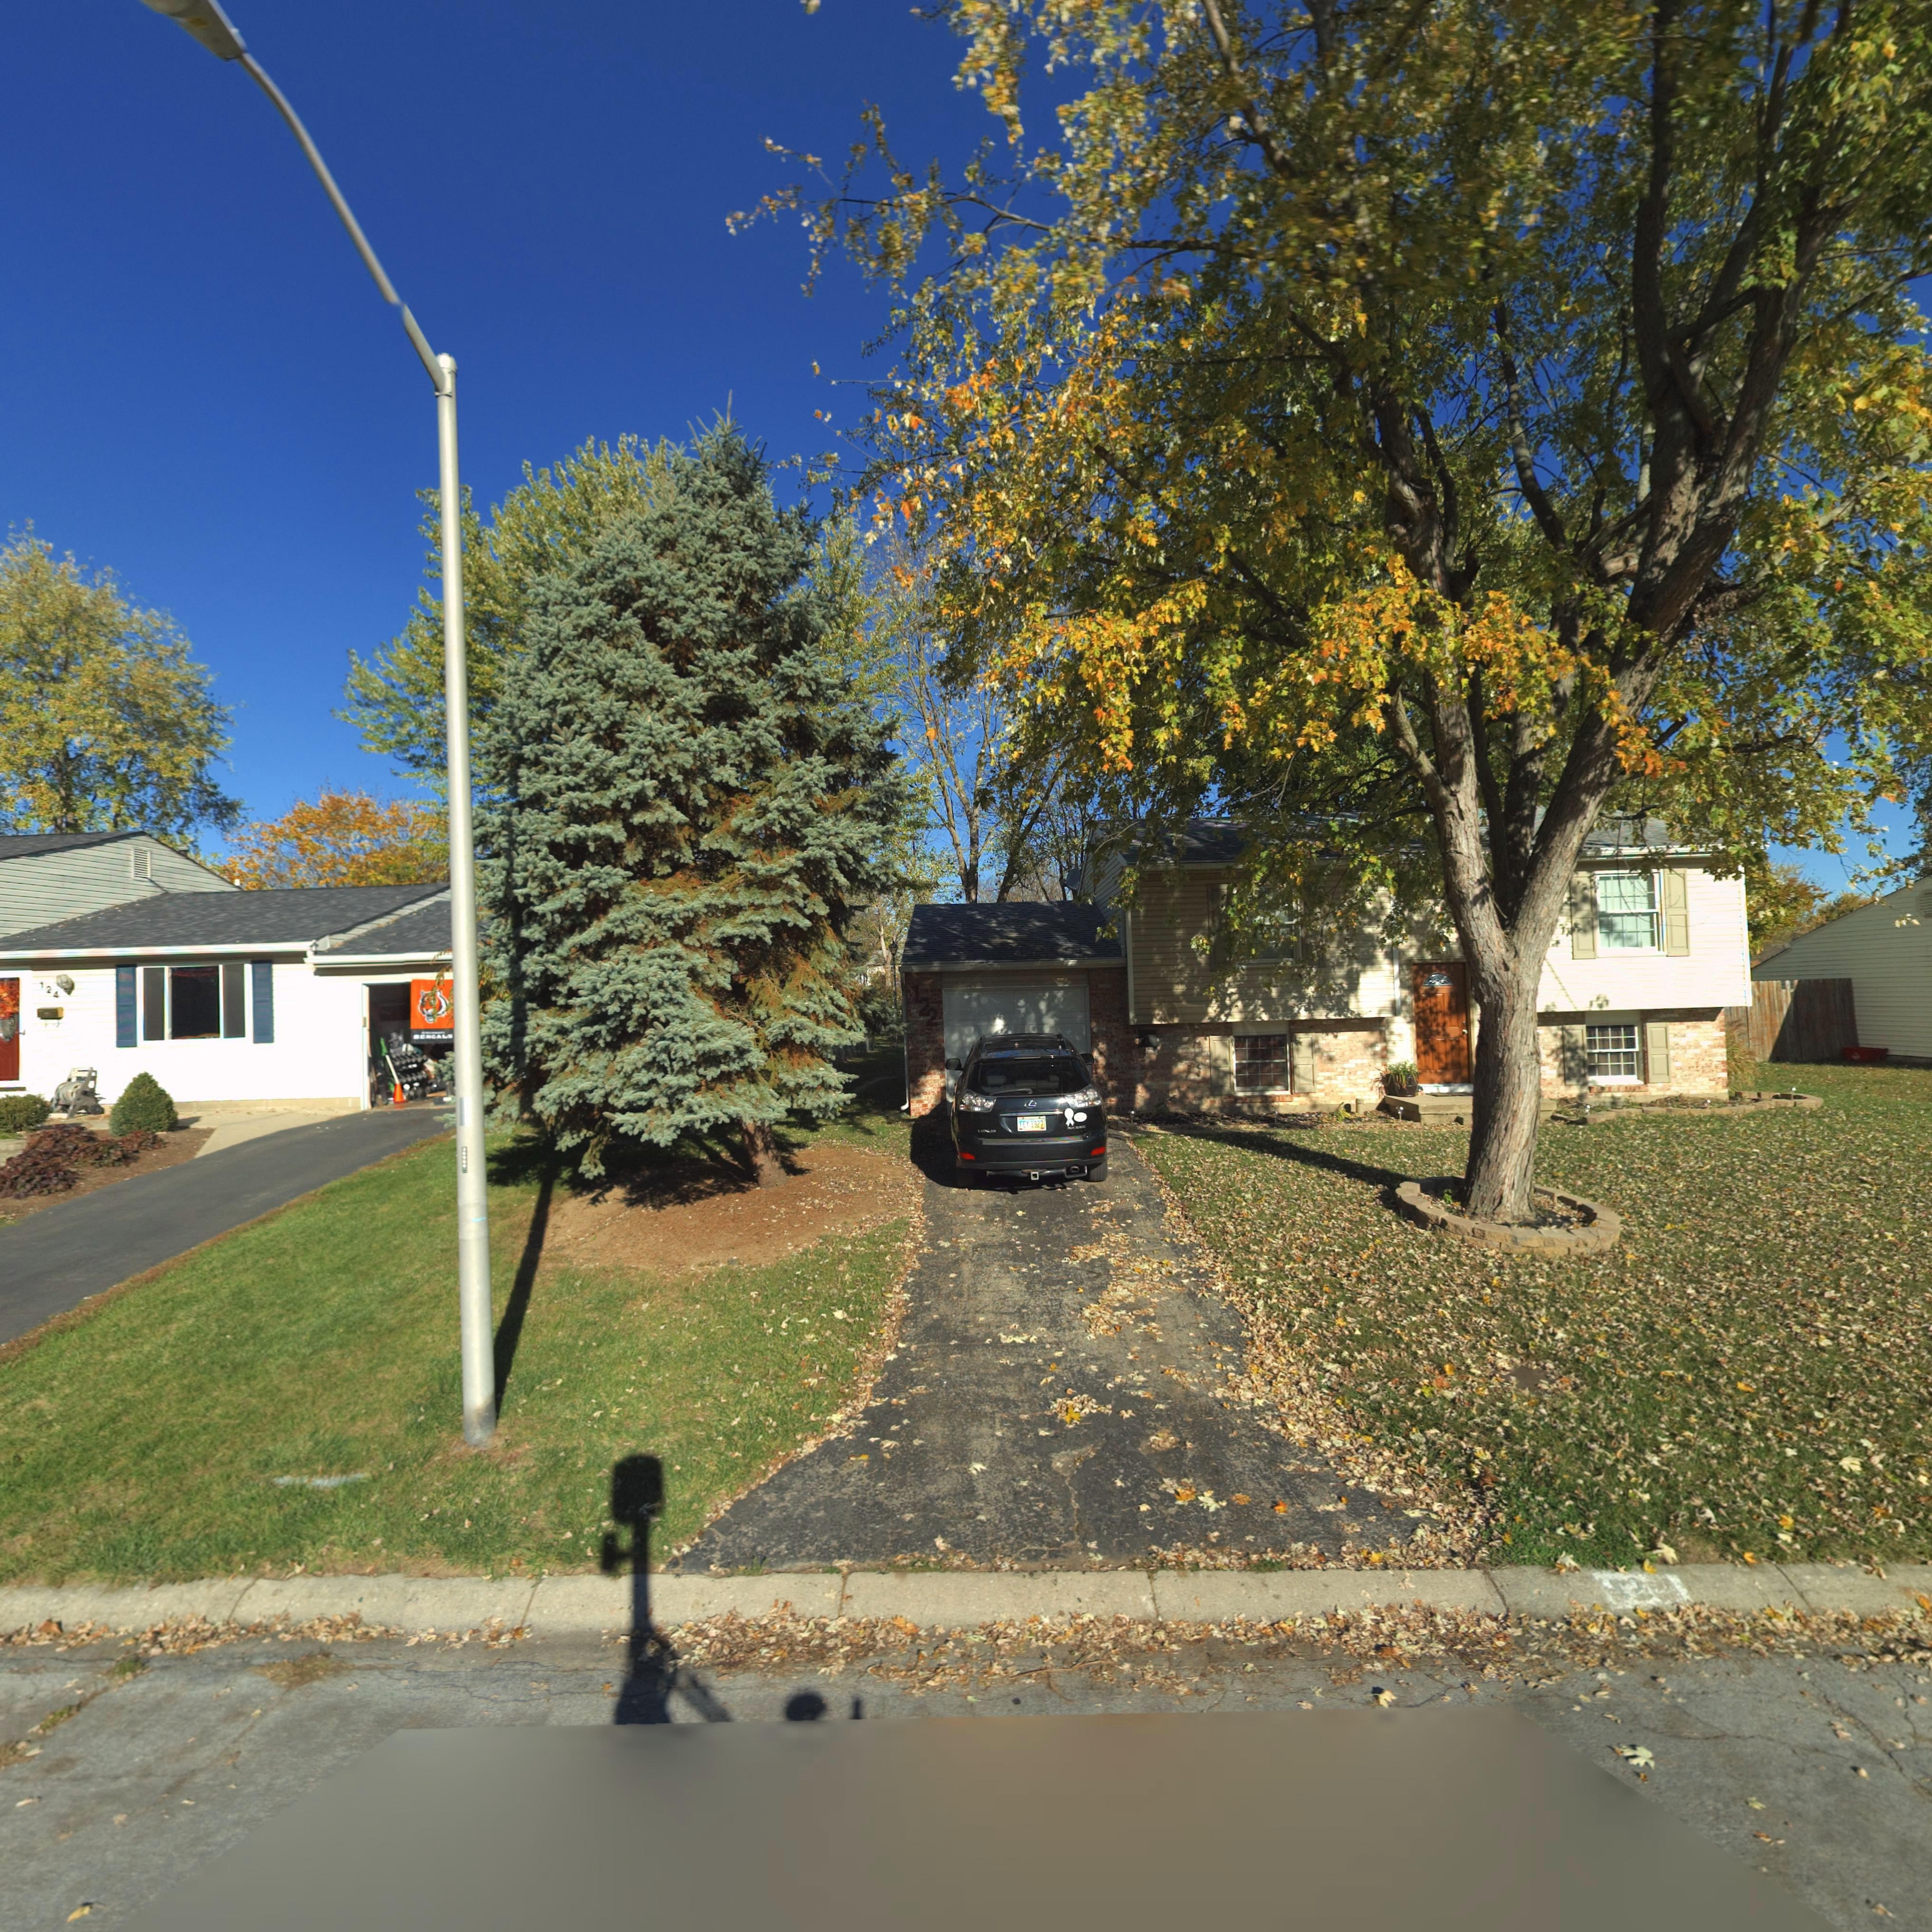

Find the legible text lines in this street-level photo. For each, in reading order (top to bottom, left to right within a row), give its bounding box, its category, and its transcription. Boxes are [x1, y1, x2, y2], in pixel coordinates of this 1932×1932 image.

[39, 980, 59, 999] StreetNumber: 124
[1626, 1575, 1655, 1603] StreetNumber: 2